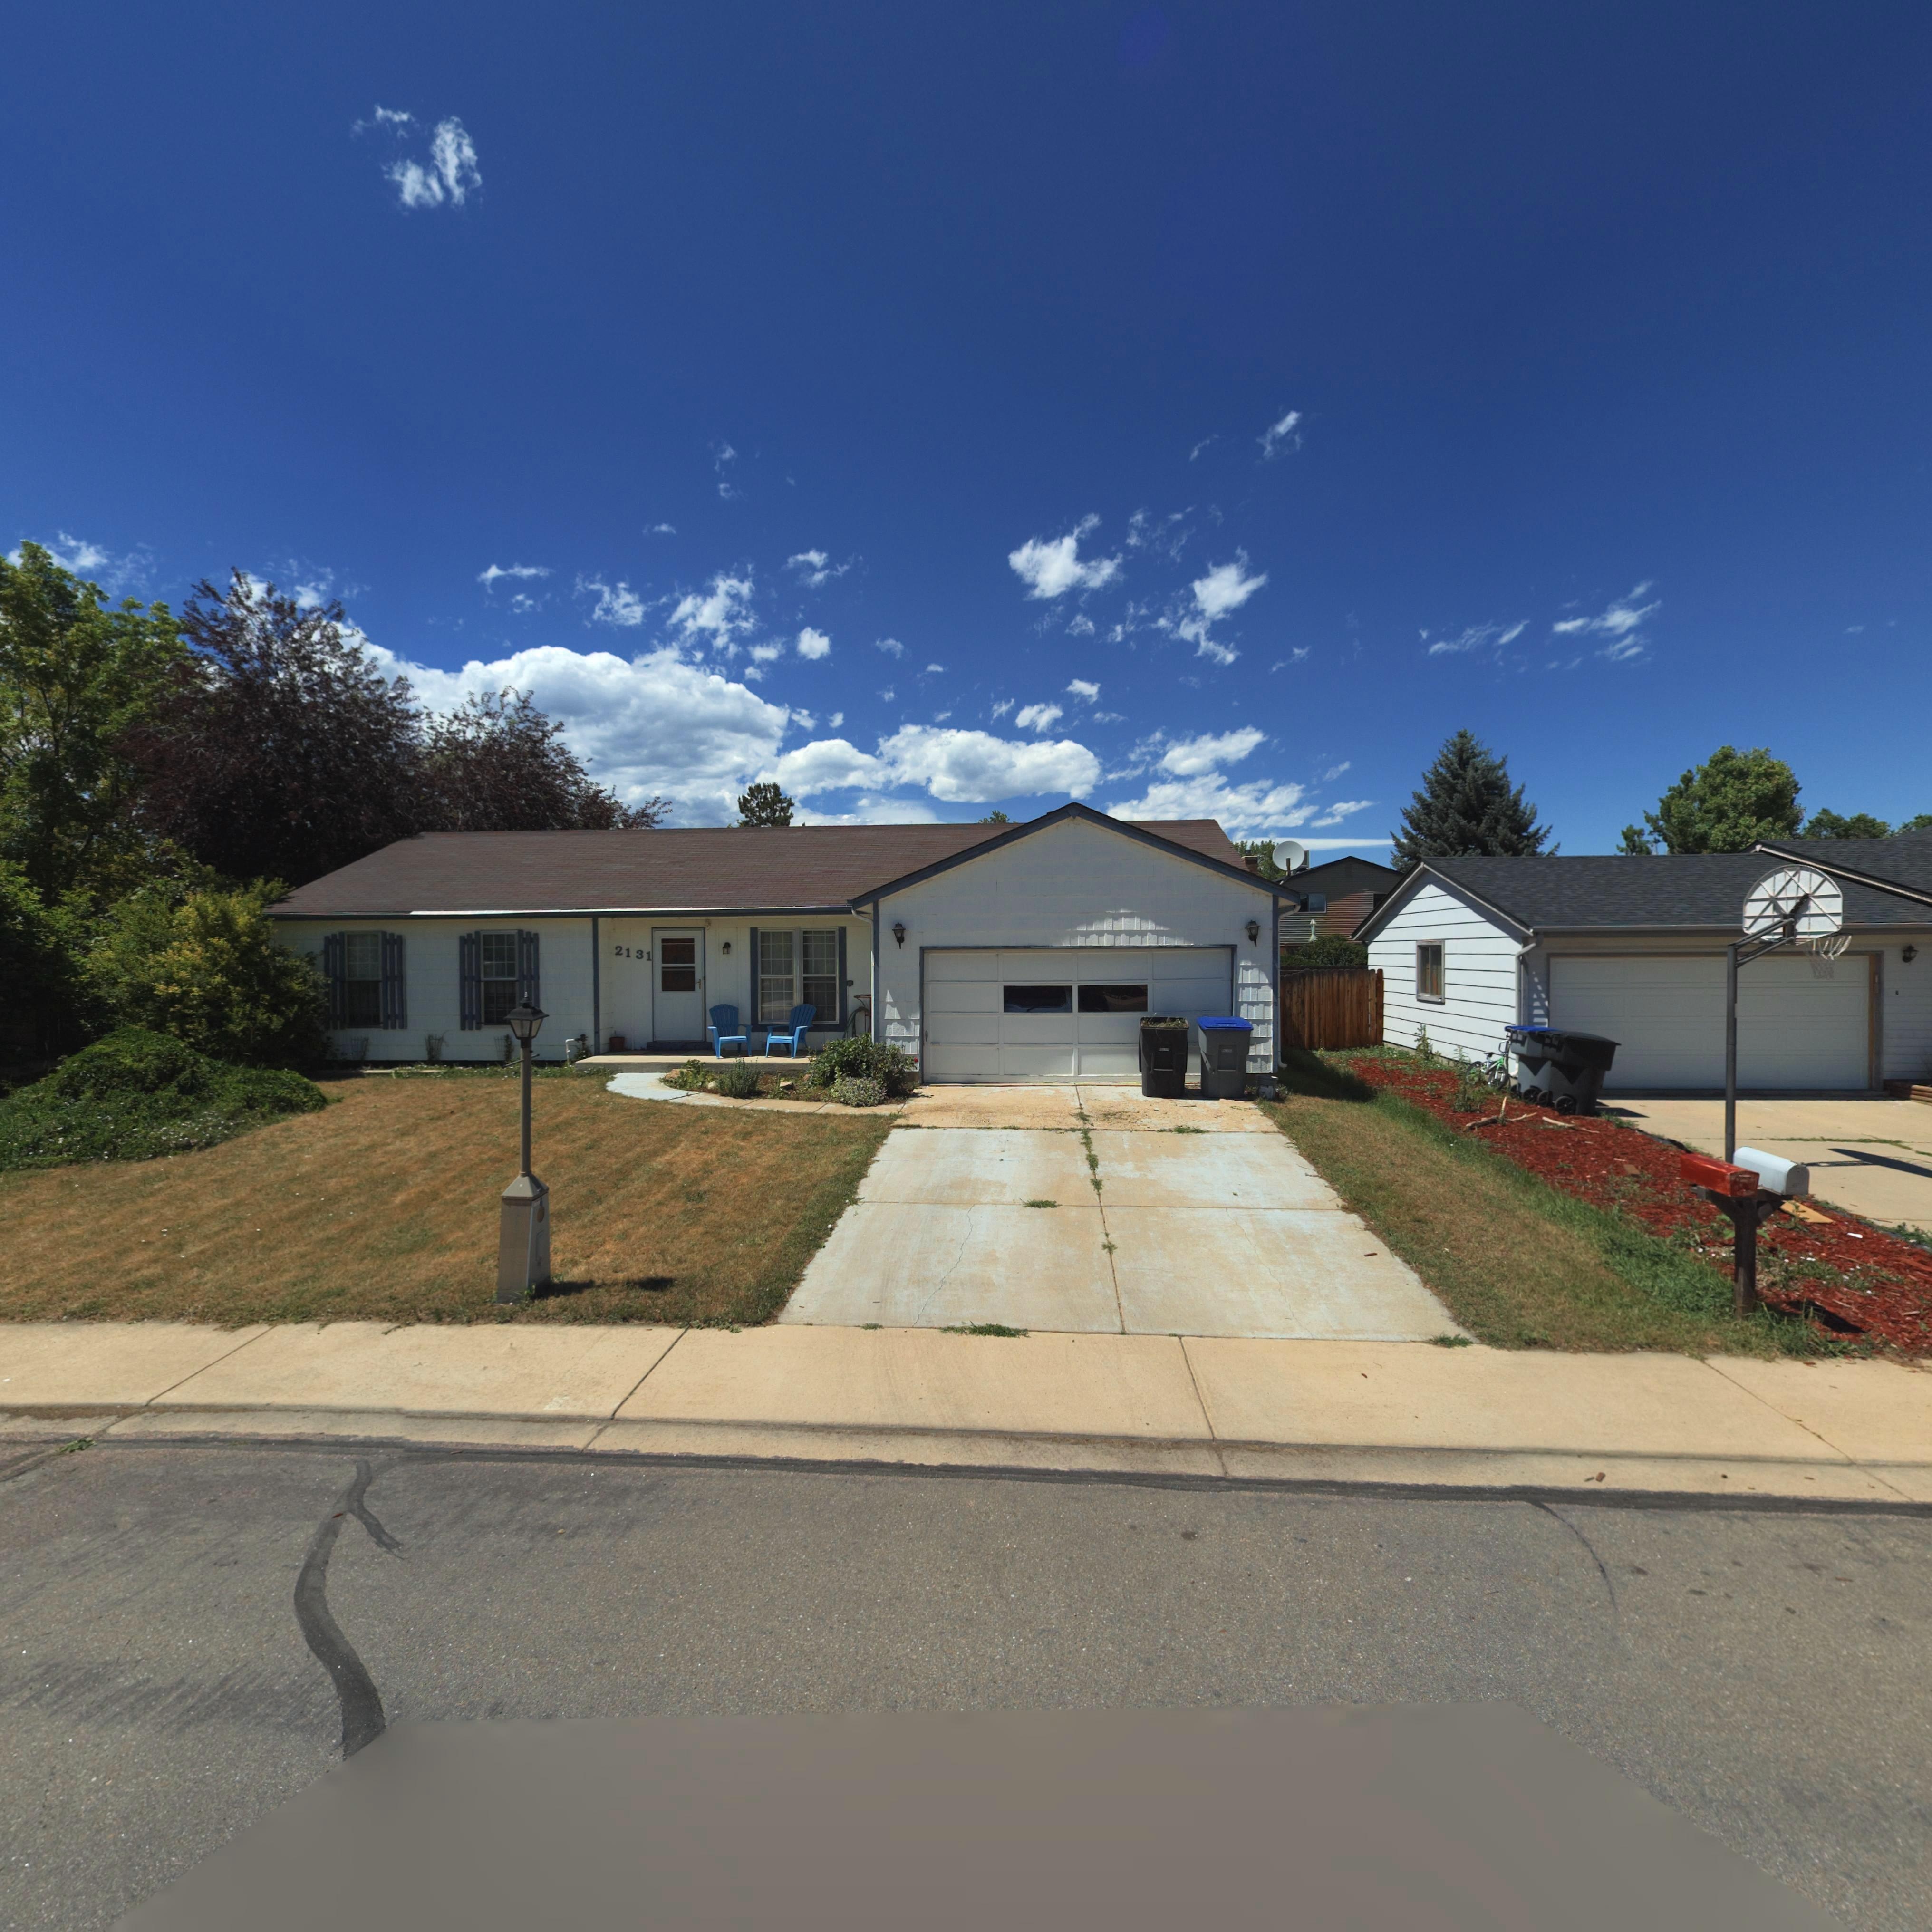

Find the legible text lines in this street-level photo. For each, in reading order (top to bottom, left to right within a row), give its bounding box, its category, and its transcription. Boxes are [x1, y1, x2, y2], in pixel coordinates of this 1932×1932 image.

[614, 945, 652, 961] StreetNumber: 2131